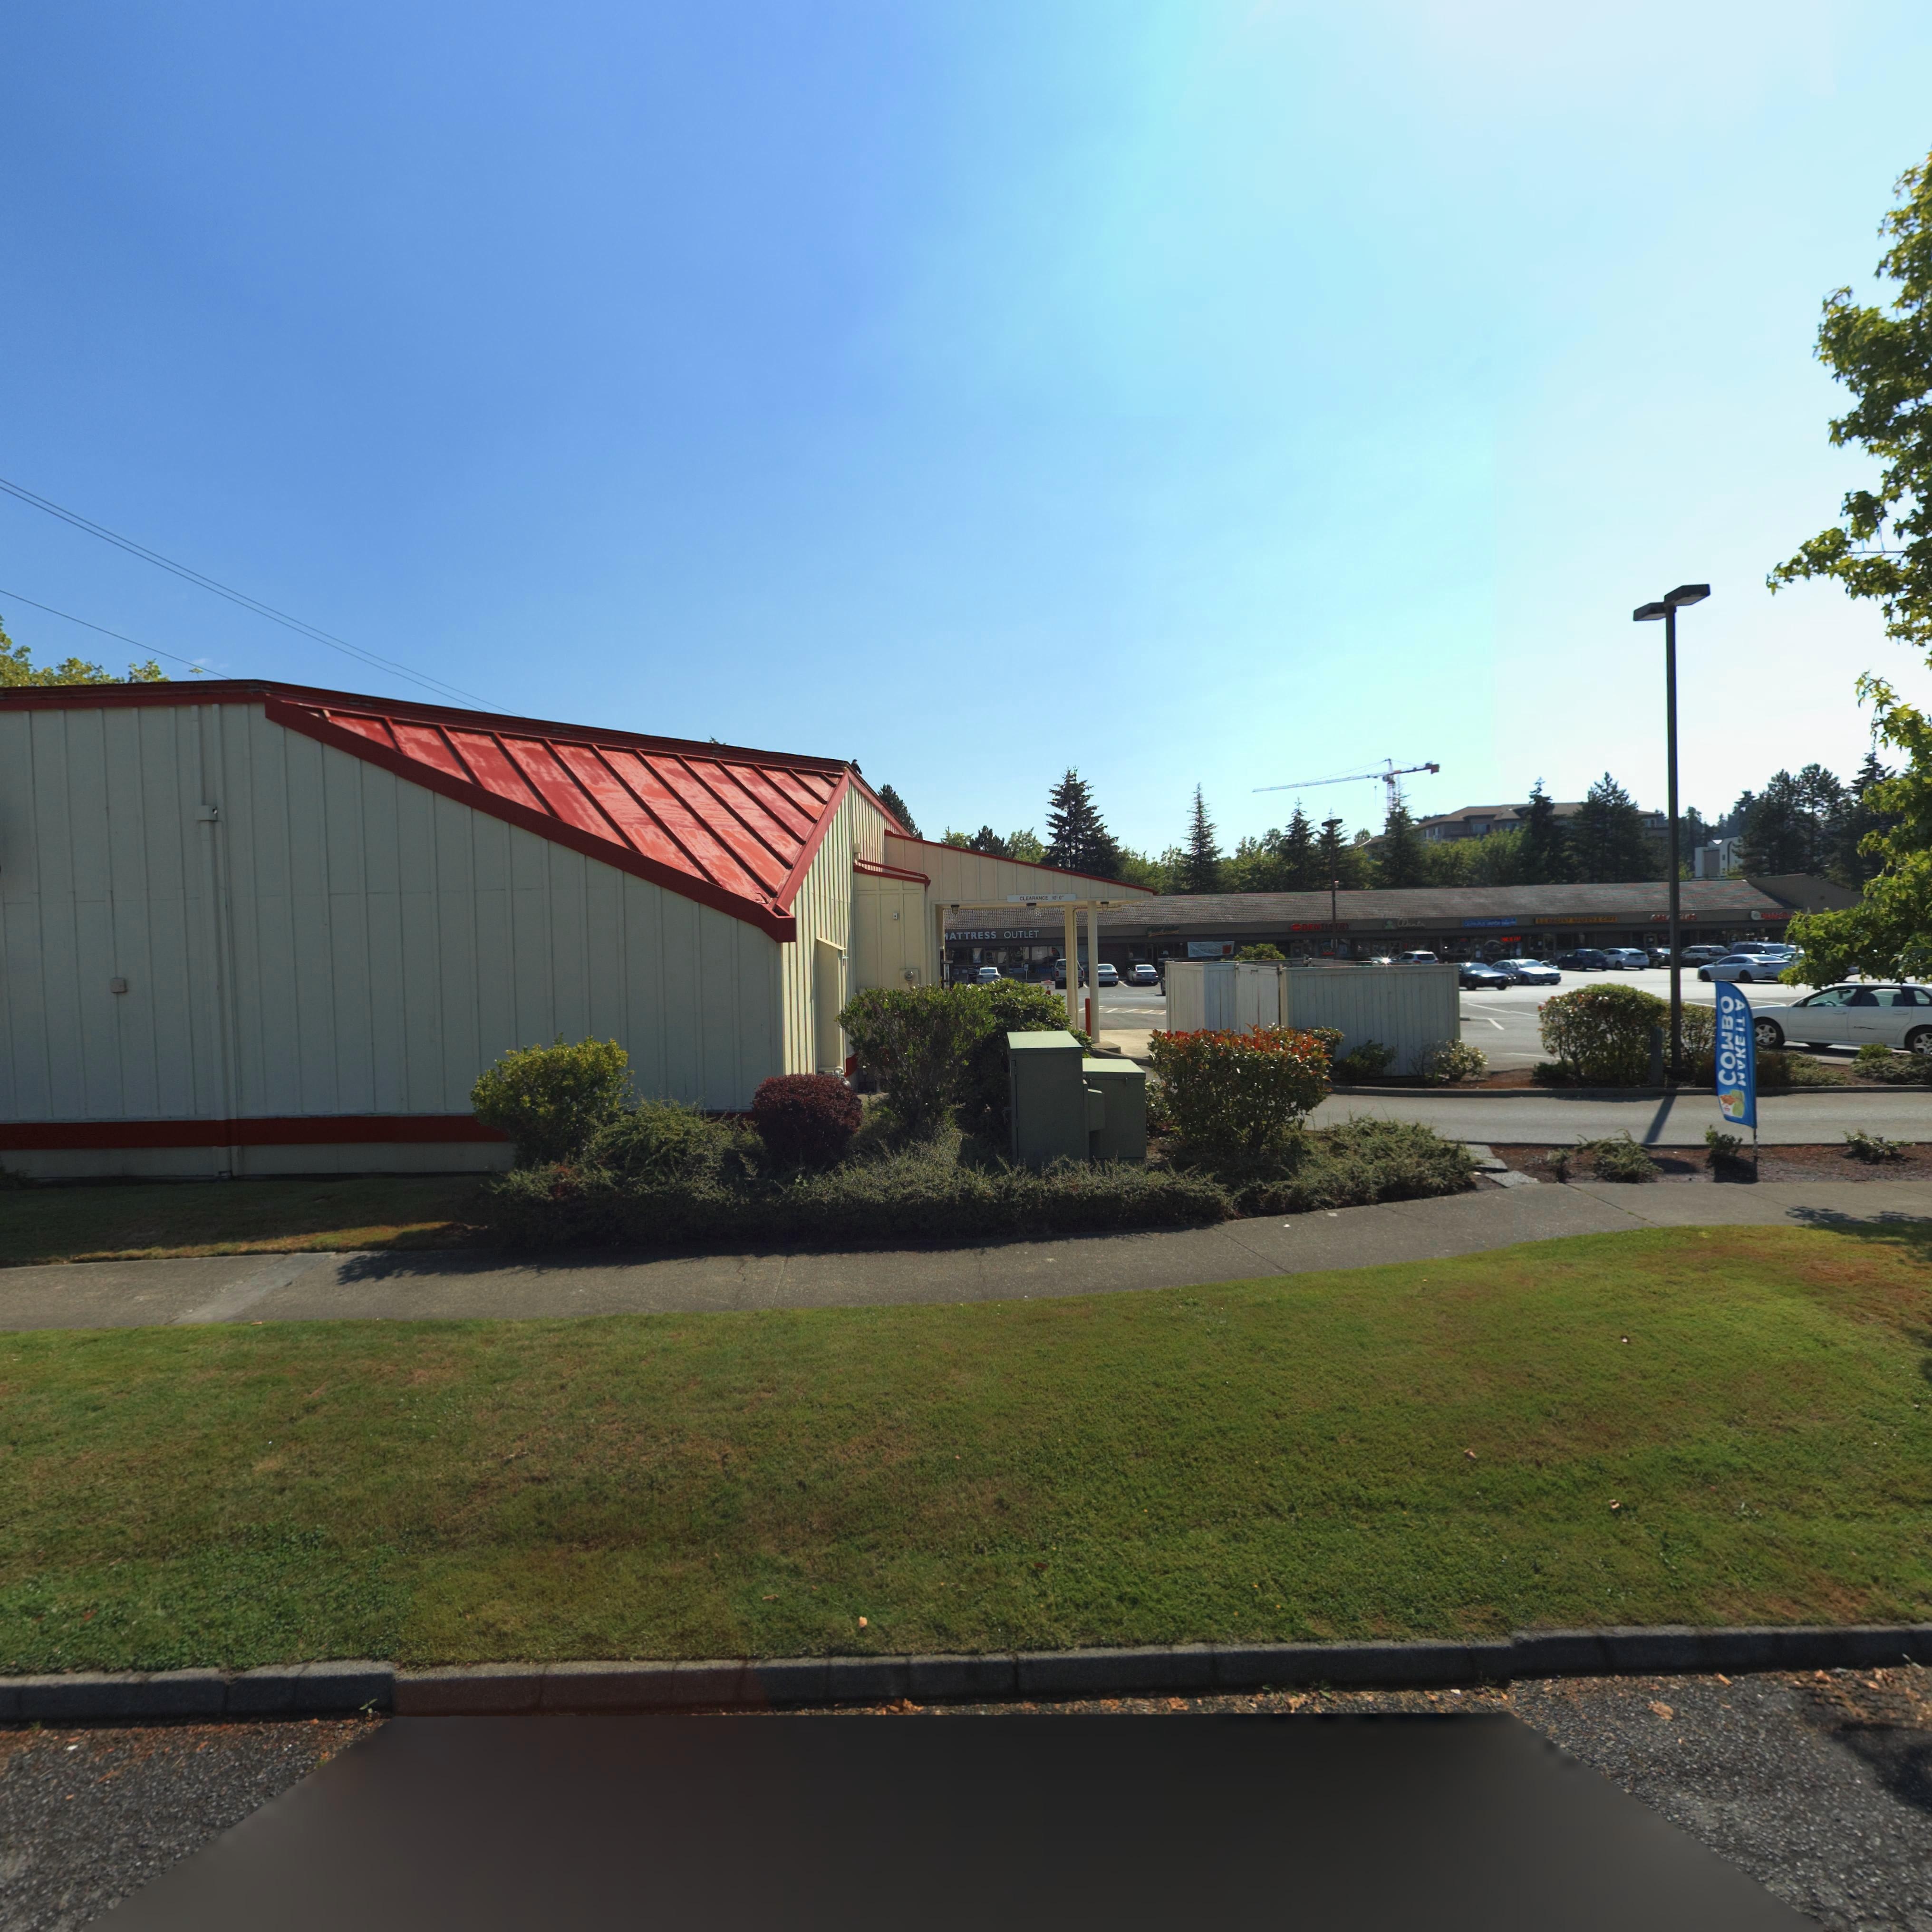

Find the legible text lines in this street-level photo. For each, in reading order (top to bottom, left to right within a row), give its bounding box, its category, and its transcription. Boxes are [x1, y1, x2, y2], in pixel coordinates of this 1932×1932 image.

[1302, 922, 1350, 930] BusinessName: D*N****RY
[945, 930, 1039, 939] BusinessName: *ATTRESS OUTLET